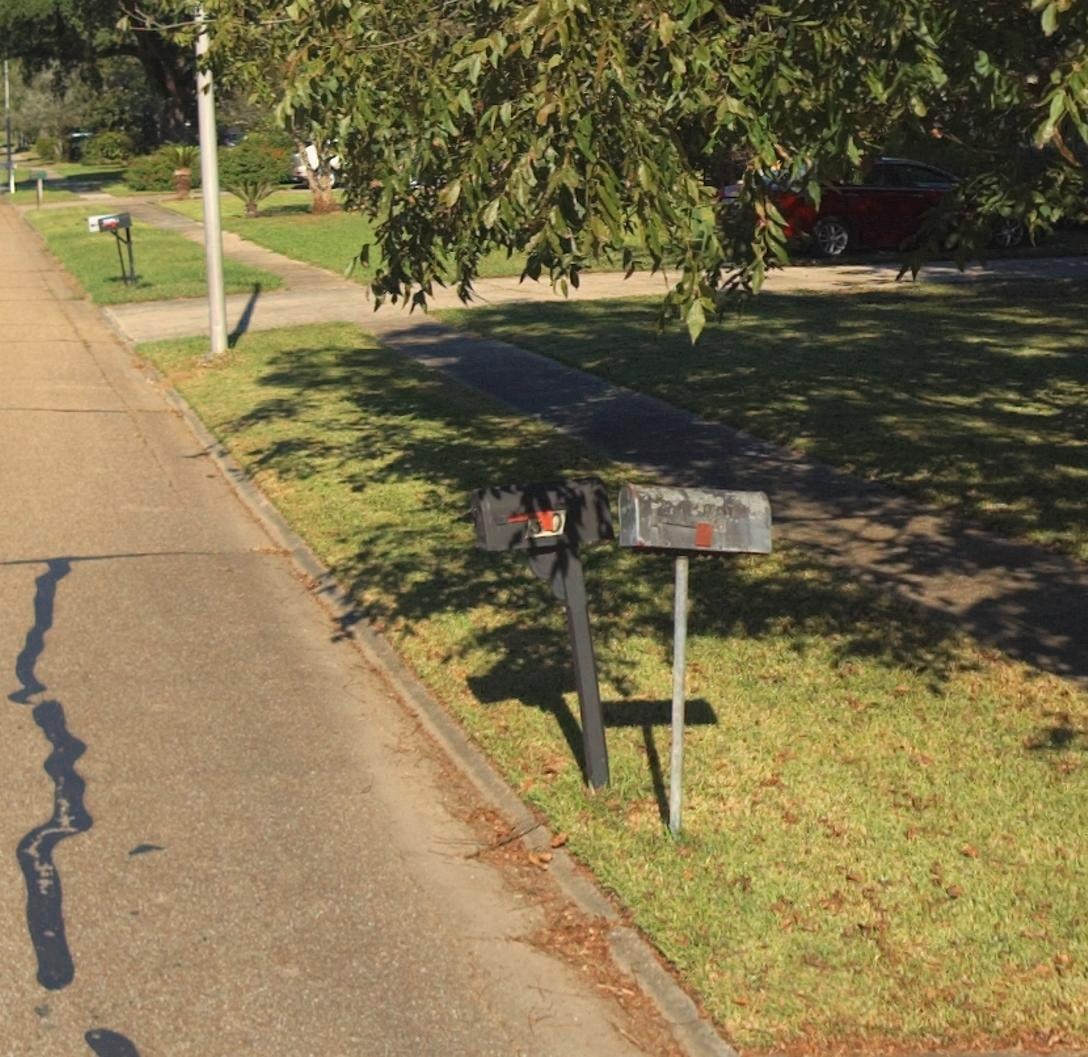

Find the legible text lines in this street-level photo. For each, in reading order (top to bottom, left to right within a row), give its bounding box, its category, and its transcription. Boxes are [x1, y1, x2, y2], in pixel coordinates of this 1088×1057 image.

[530, 512, 562, 536] StreetNumber: 30